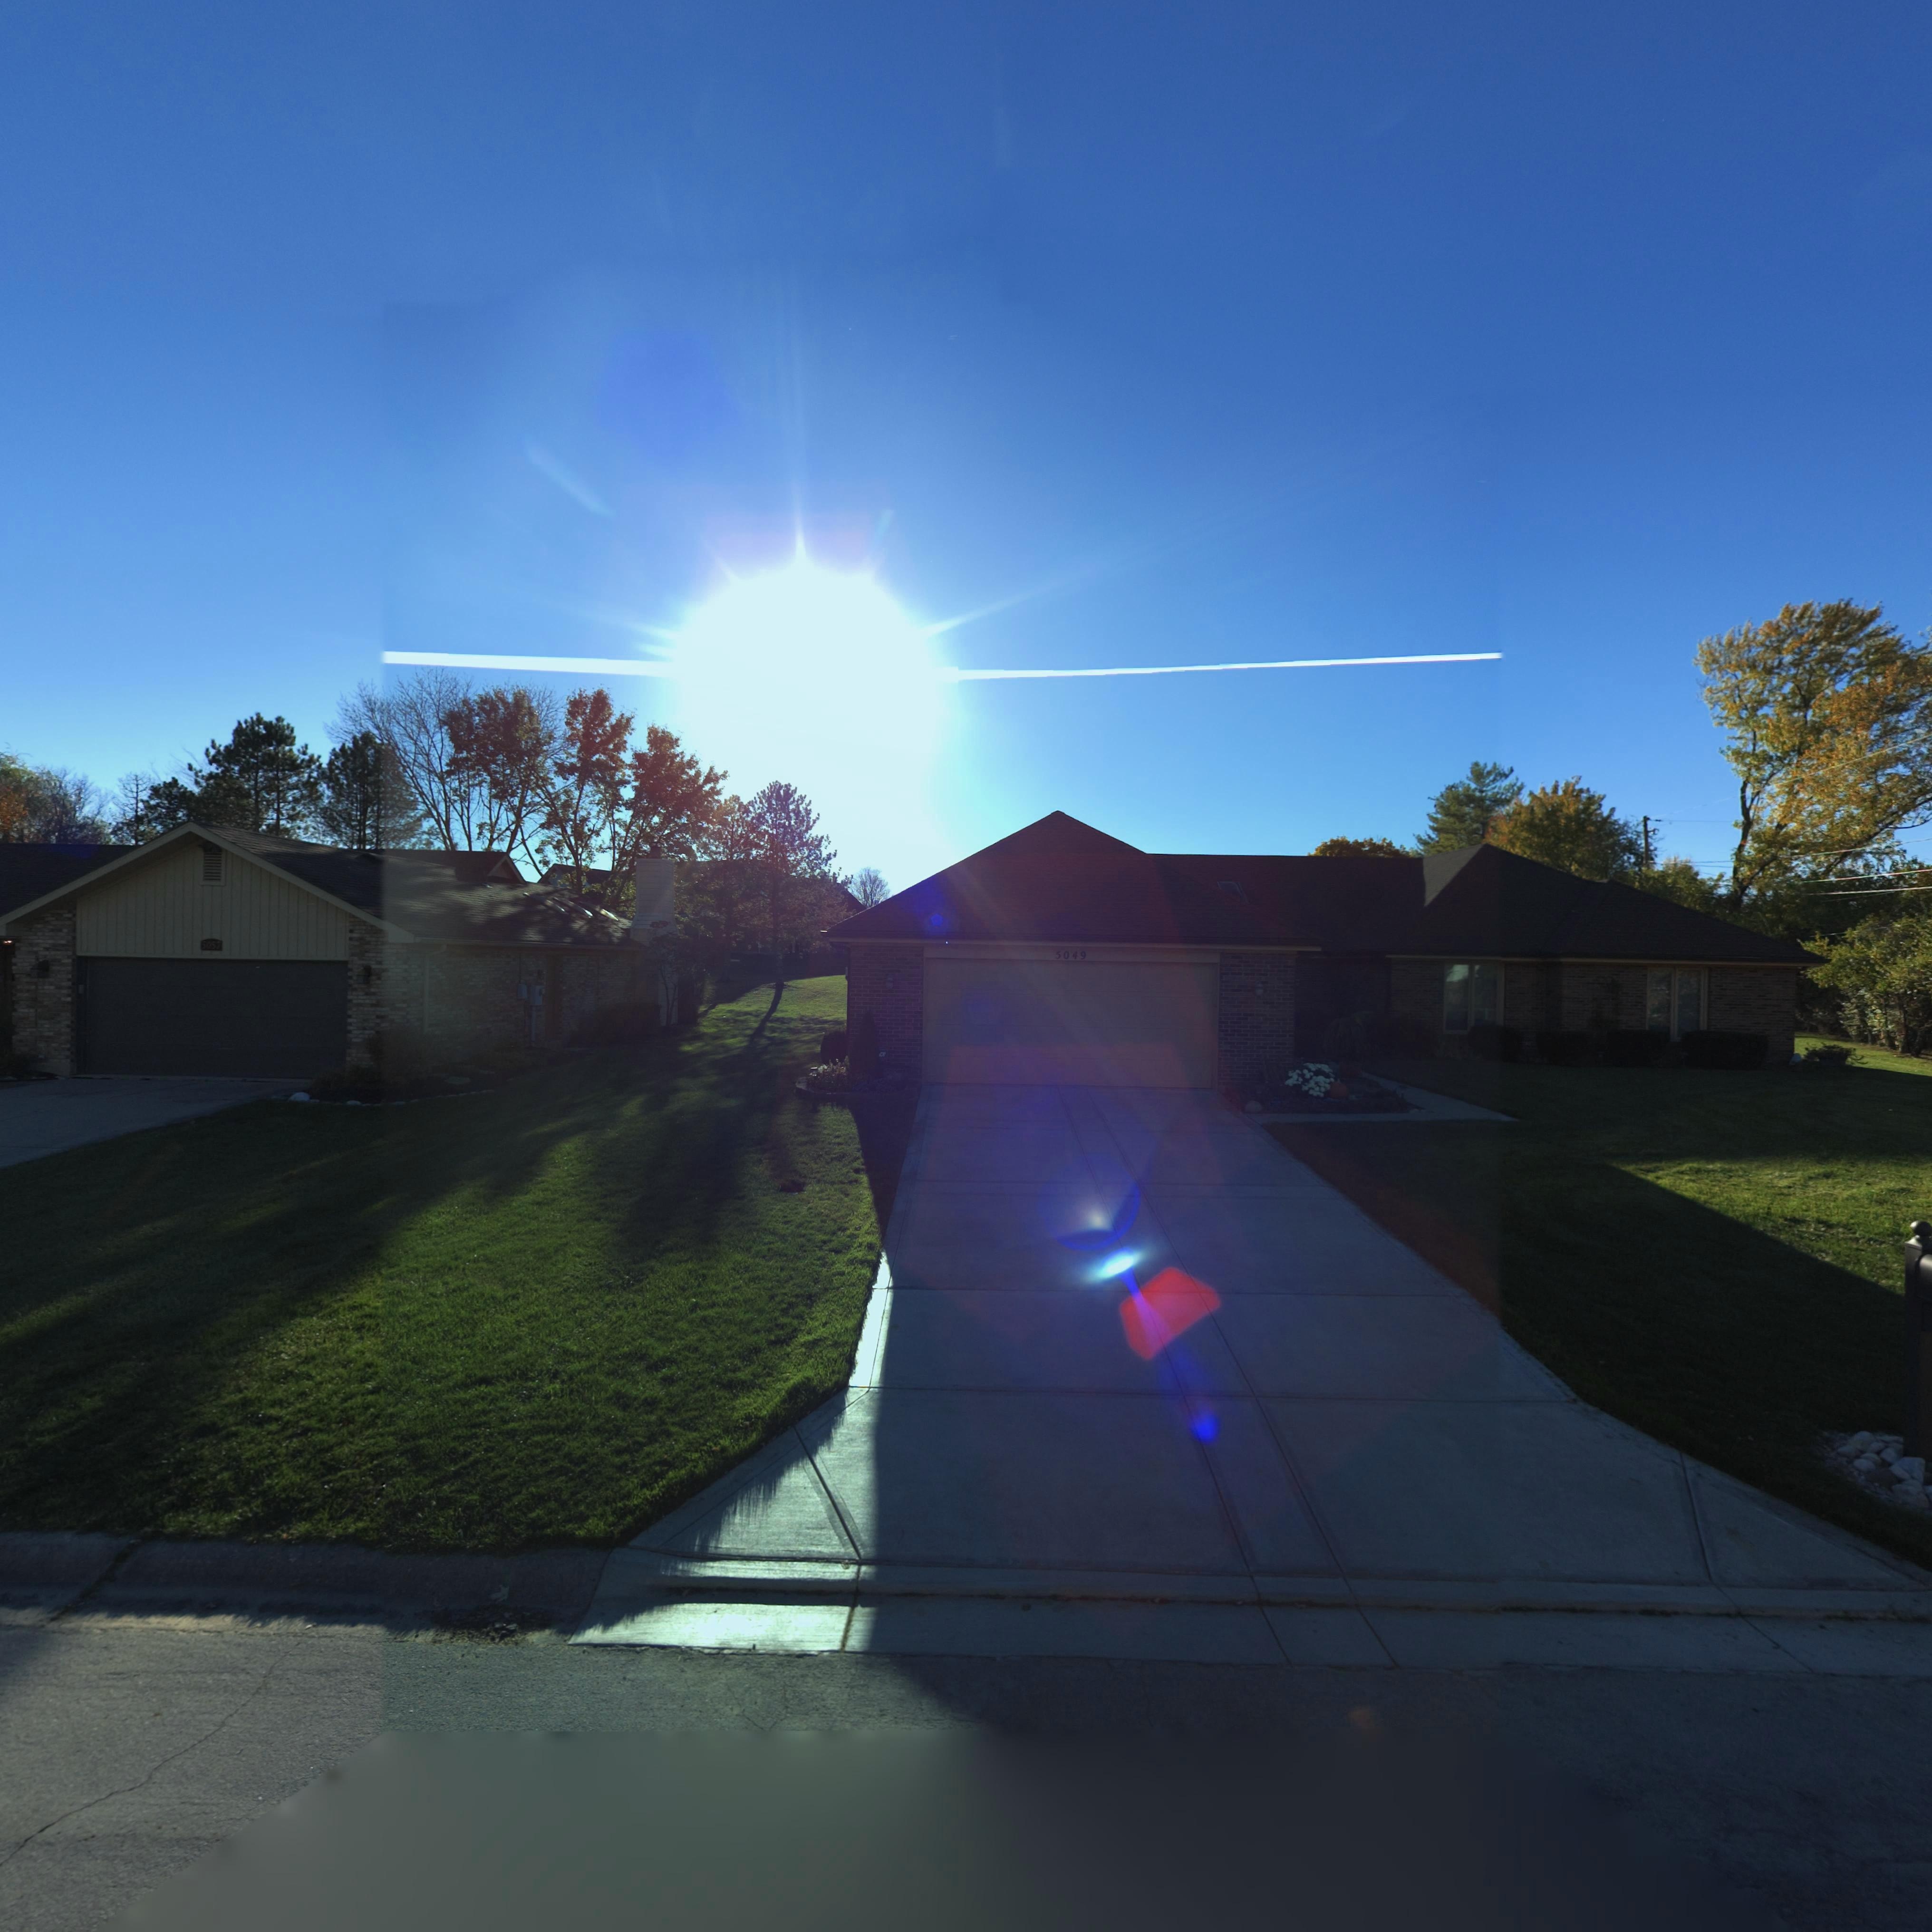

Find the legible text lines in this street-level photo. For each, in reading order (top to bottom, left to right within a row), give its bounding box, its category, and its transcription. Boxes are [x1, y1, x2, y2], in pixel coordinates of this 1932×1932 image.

[200, 940, 222, 950] StreetNumber: 5057
[1054, 950, 1087, 961] StreetNumber: 5049